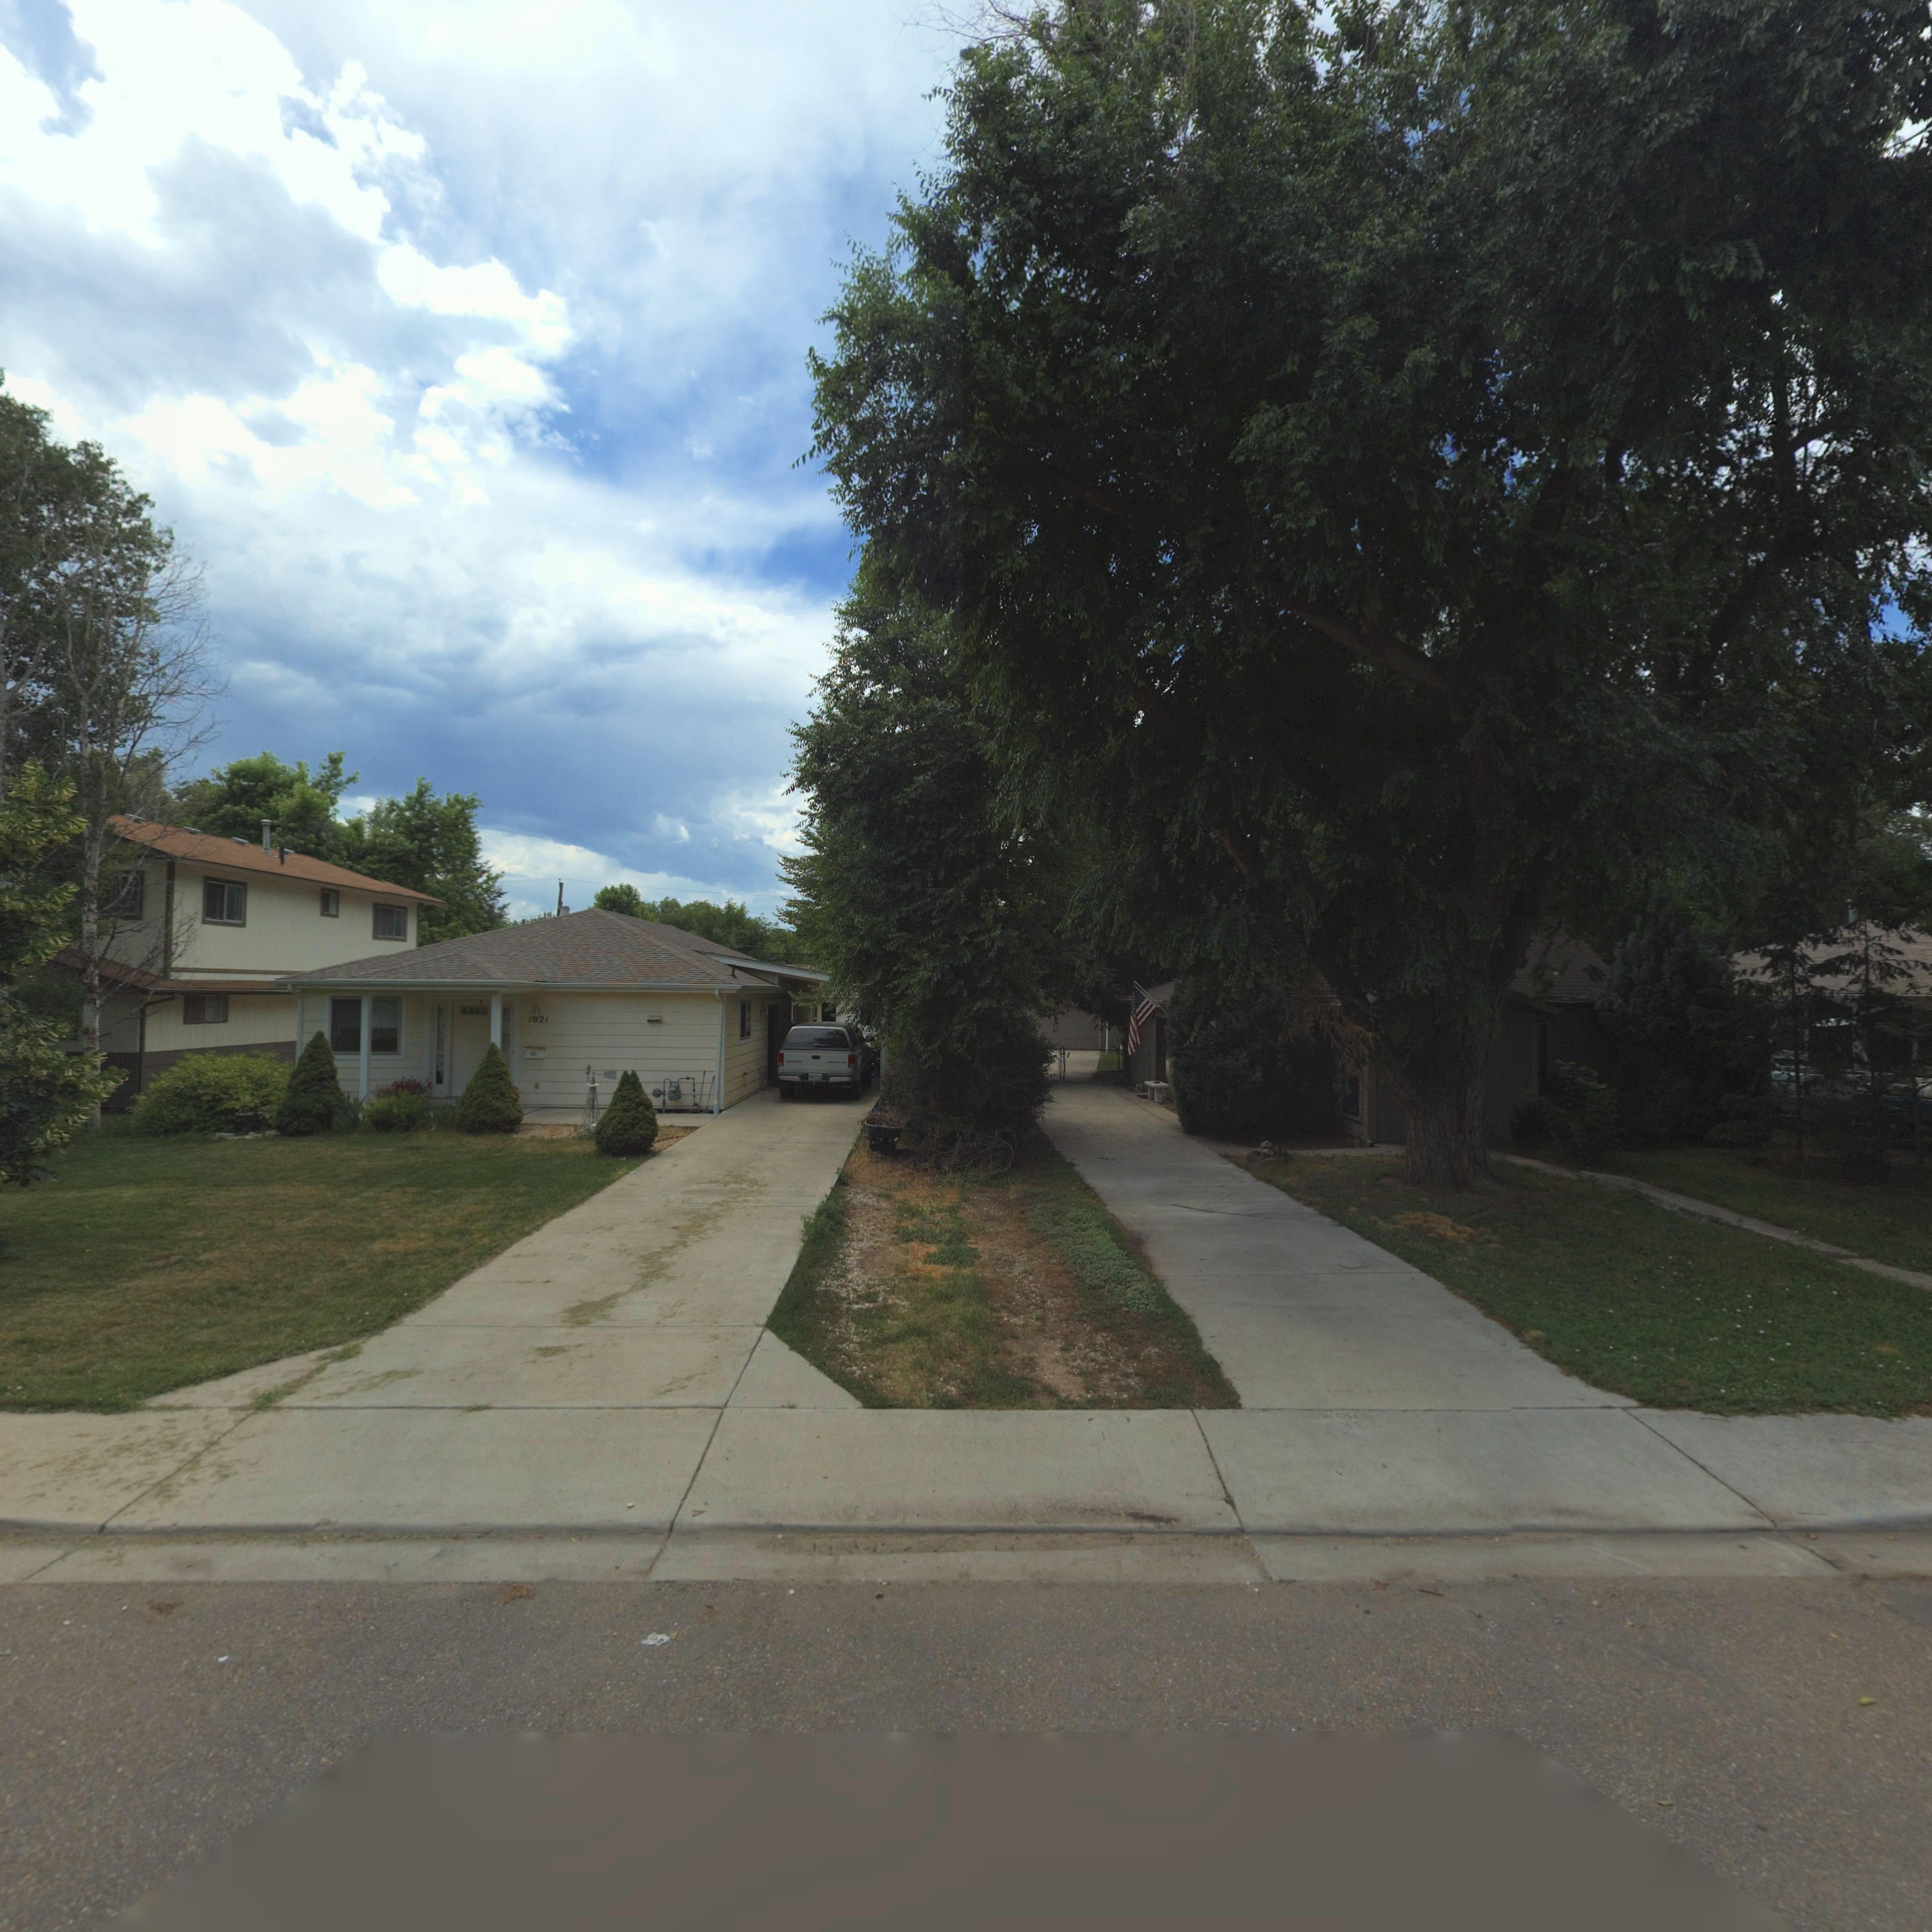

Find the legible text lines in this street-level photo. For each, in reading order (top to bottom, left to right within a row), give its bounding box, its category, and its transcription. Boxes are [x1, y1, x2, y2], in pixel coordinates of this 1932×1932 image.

[528, 1015, 549, 1023] StreetNumber: 1021